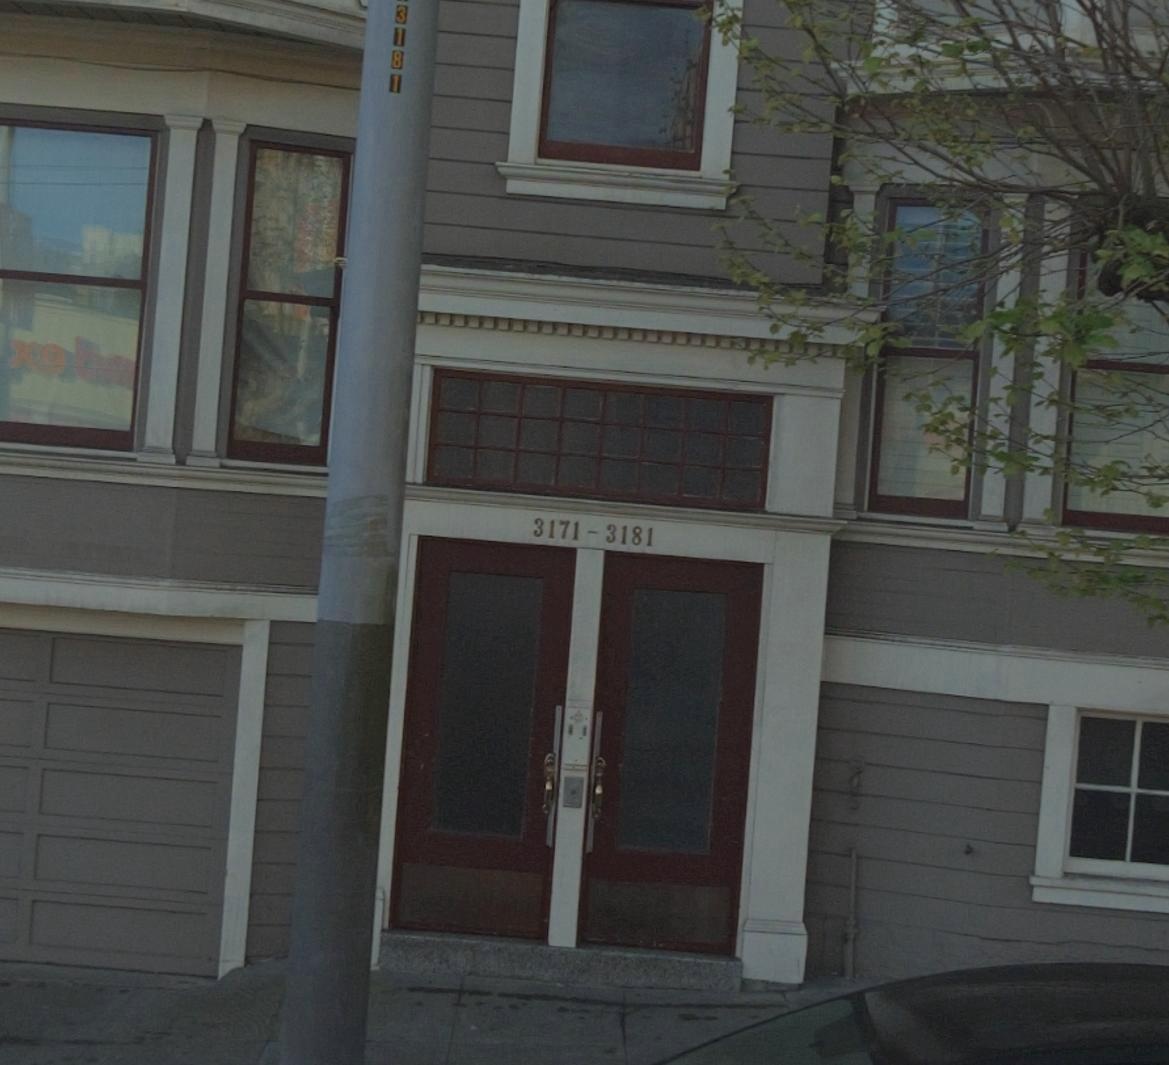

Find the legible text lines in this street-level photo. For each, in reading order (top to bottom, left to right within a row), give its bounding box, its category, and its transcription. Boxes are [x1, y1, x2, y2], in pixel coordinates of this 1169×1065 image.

[388, 3, 409, 95] None: 3181
[4, 329, 138, 395] None: X* b*
[529, 514, 583, 543] StreetNumber: 3171
[603, 520, 656, 550] StreetNumber: 3181